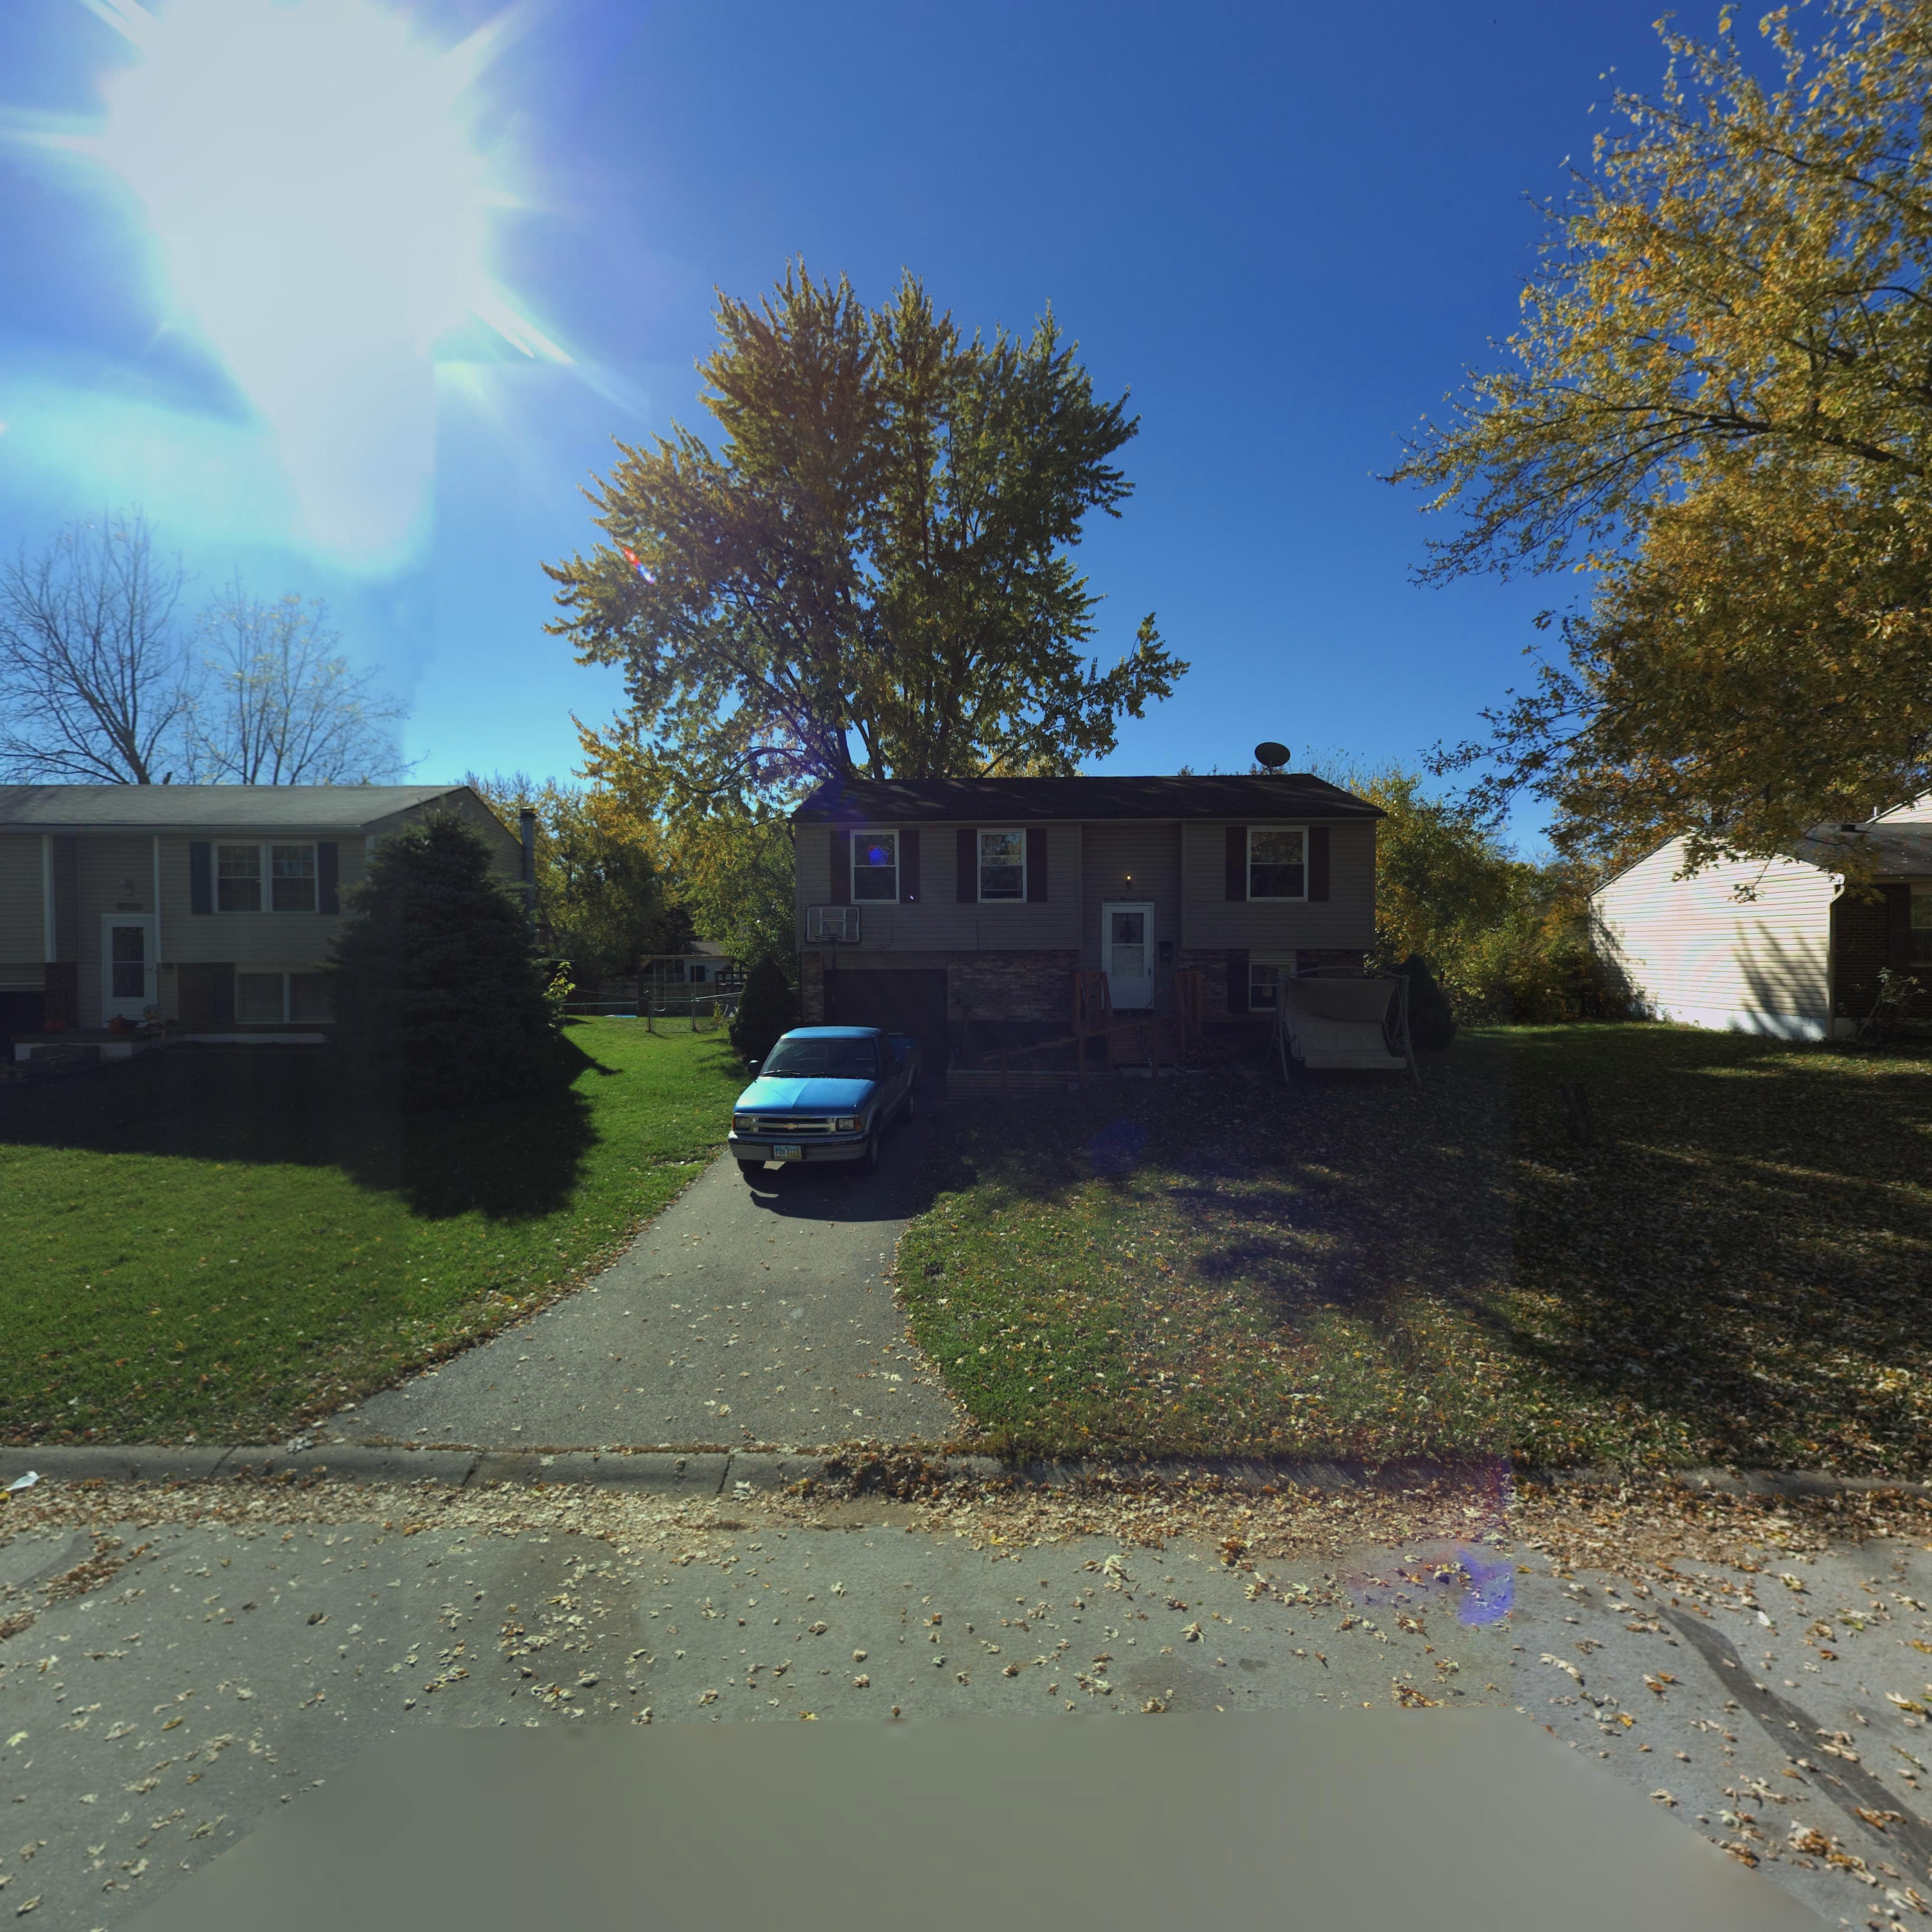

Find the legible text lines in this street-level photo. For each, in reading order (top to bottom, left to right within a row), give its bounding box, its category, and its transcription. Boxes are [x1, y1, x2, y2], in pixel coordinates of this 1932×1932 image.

[1103, 896, 1109, 902] StreetNumber: S
[1117, 895, 1128, 902] StreetNumber: H
[774, 1147, 800, 1157] None: FOH 4777